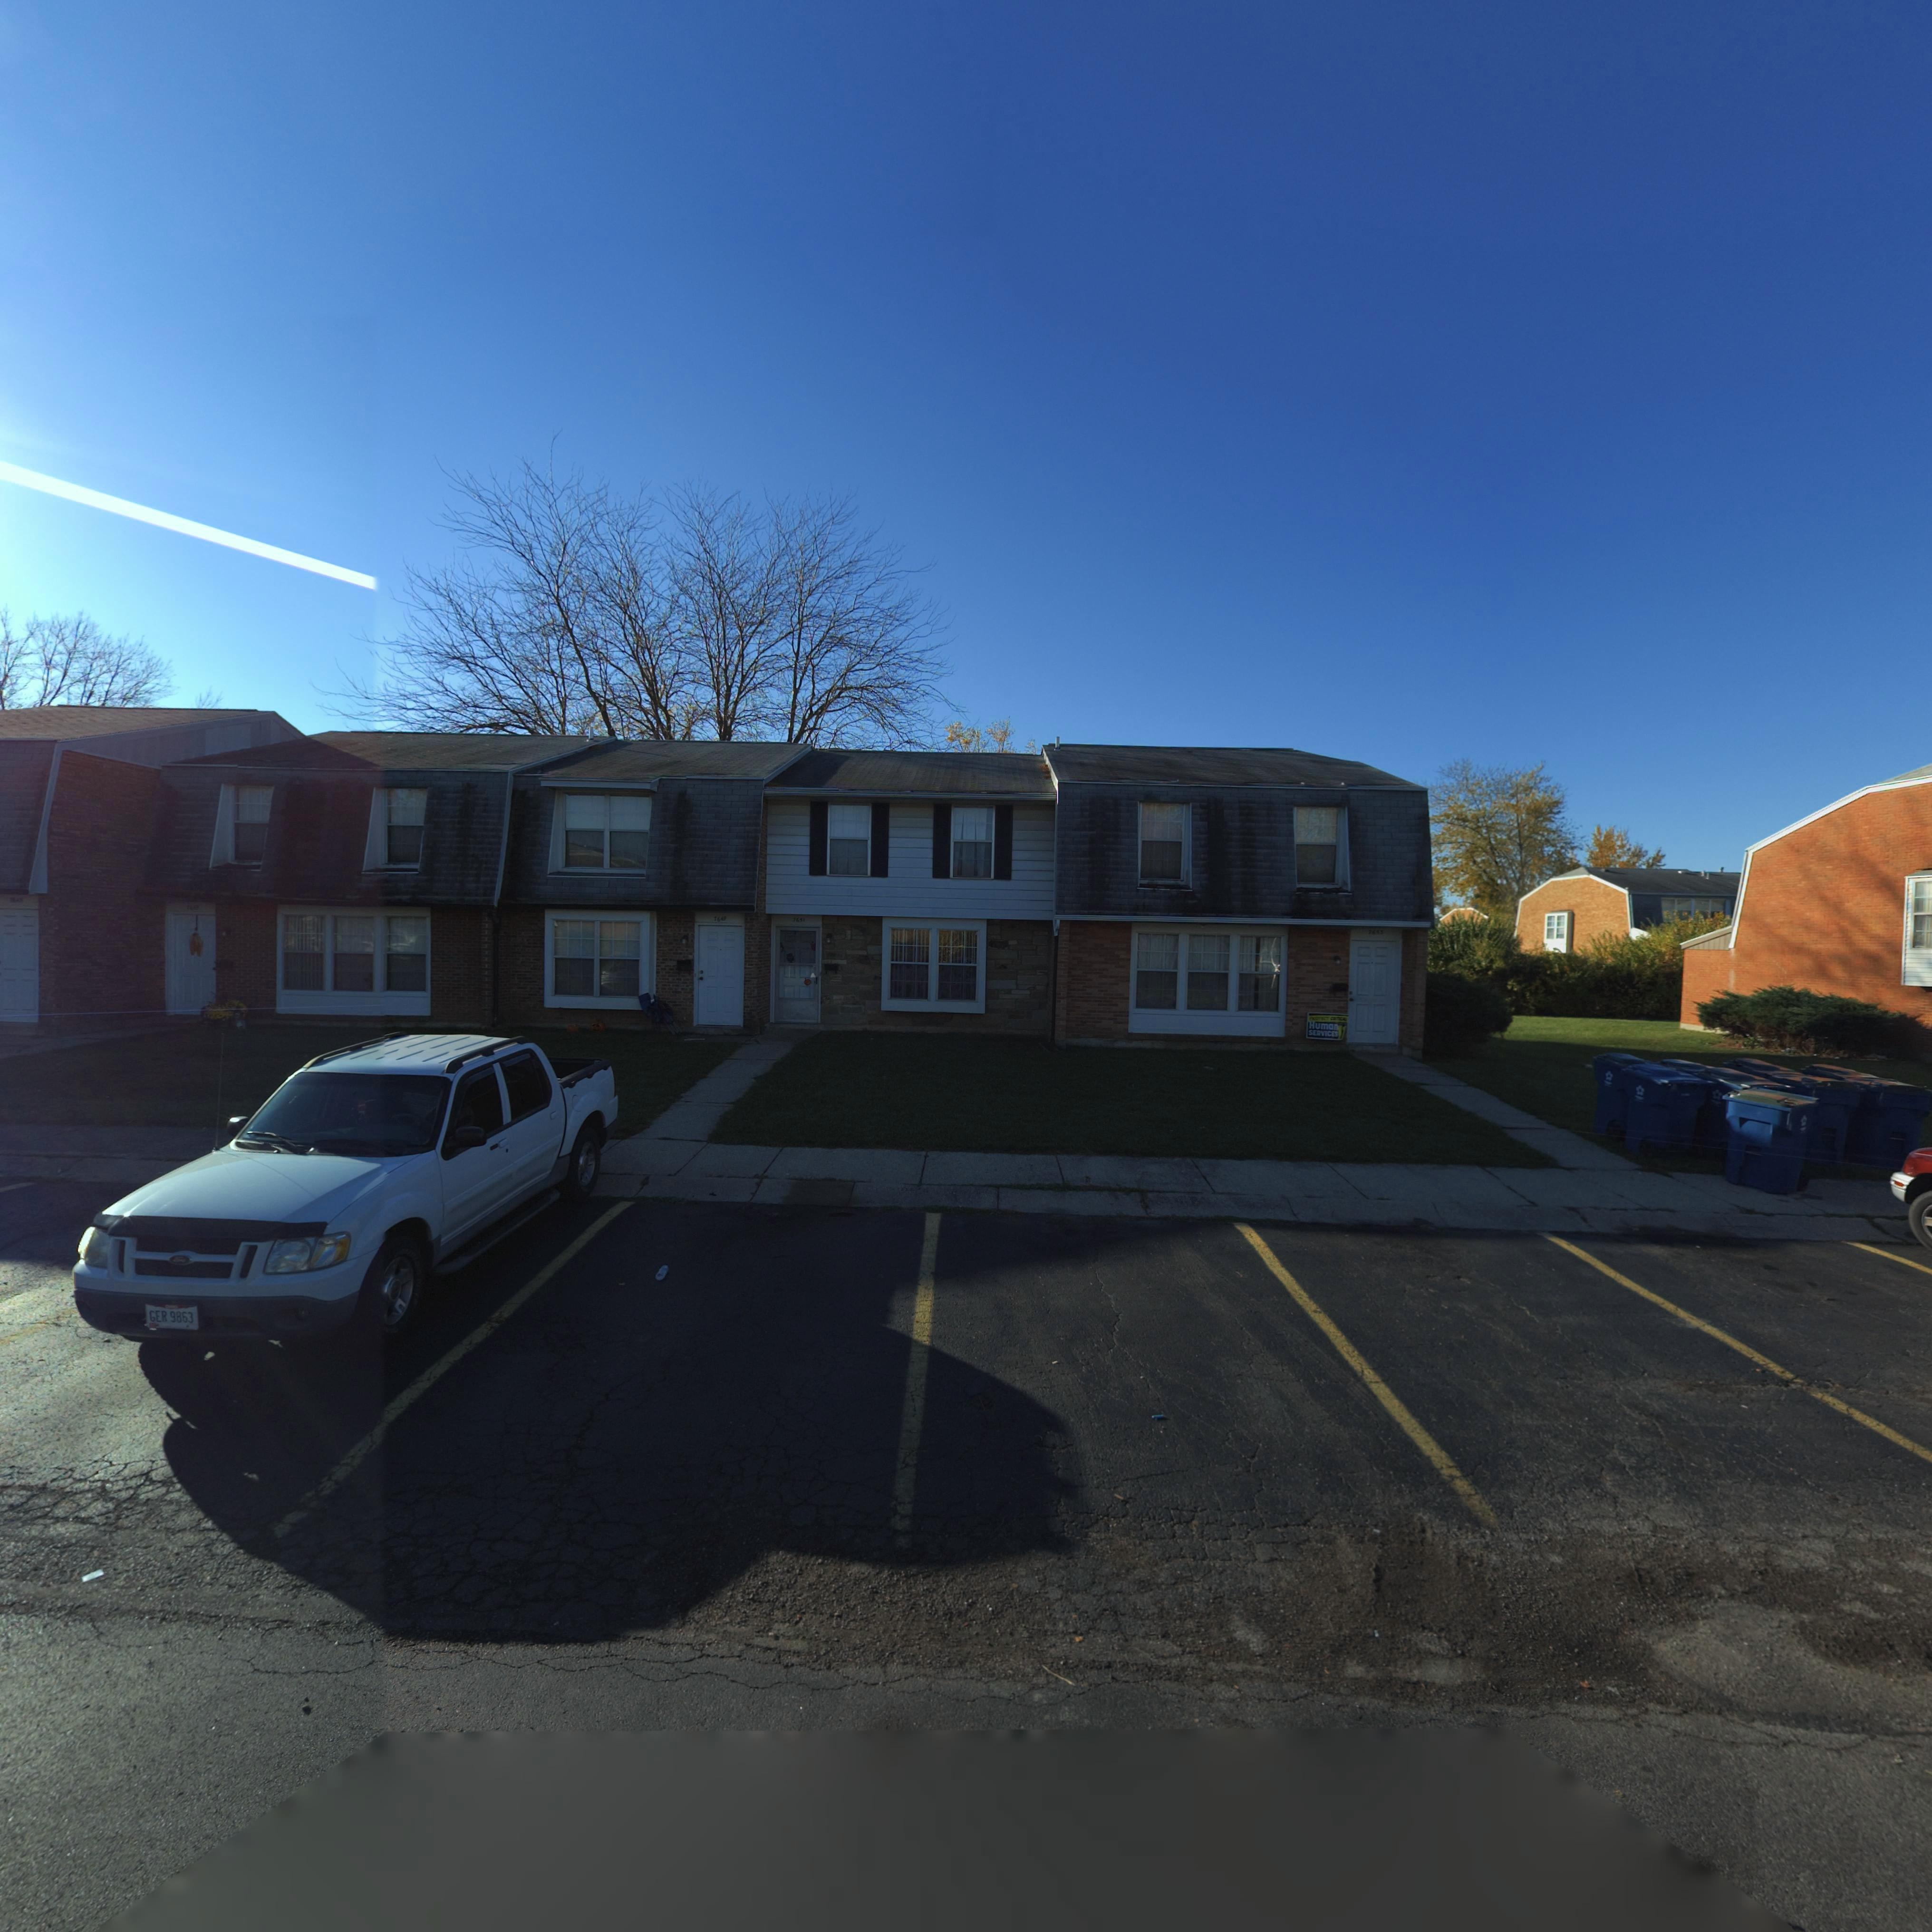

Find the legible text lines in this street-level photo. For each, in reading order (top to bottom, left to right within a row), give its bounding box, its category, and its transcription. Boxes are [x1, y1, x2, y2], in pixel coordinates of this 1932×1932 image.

[8, 897, 24, 903] StreetNumber: 7*45
[185, 904, 200, 911] StreetNumber: 7***
[713, 916, 727, 922] StreetNumber: 7649
[792, 917, 806, 923] StreetNumber: 7651
[1367, 929, 1385, 935] StreetNumber: 7655